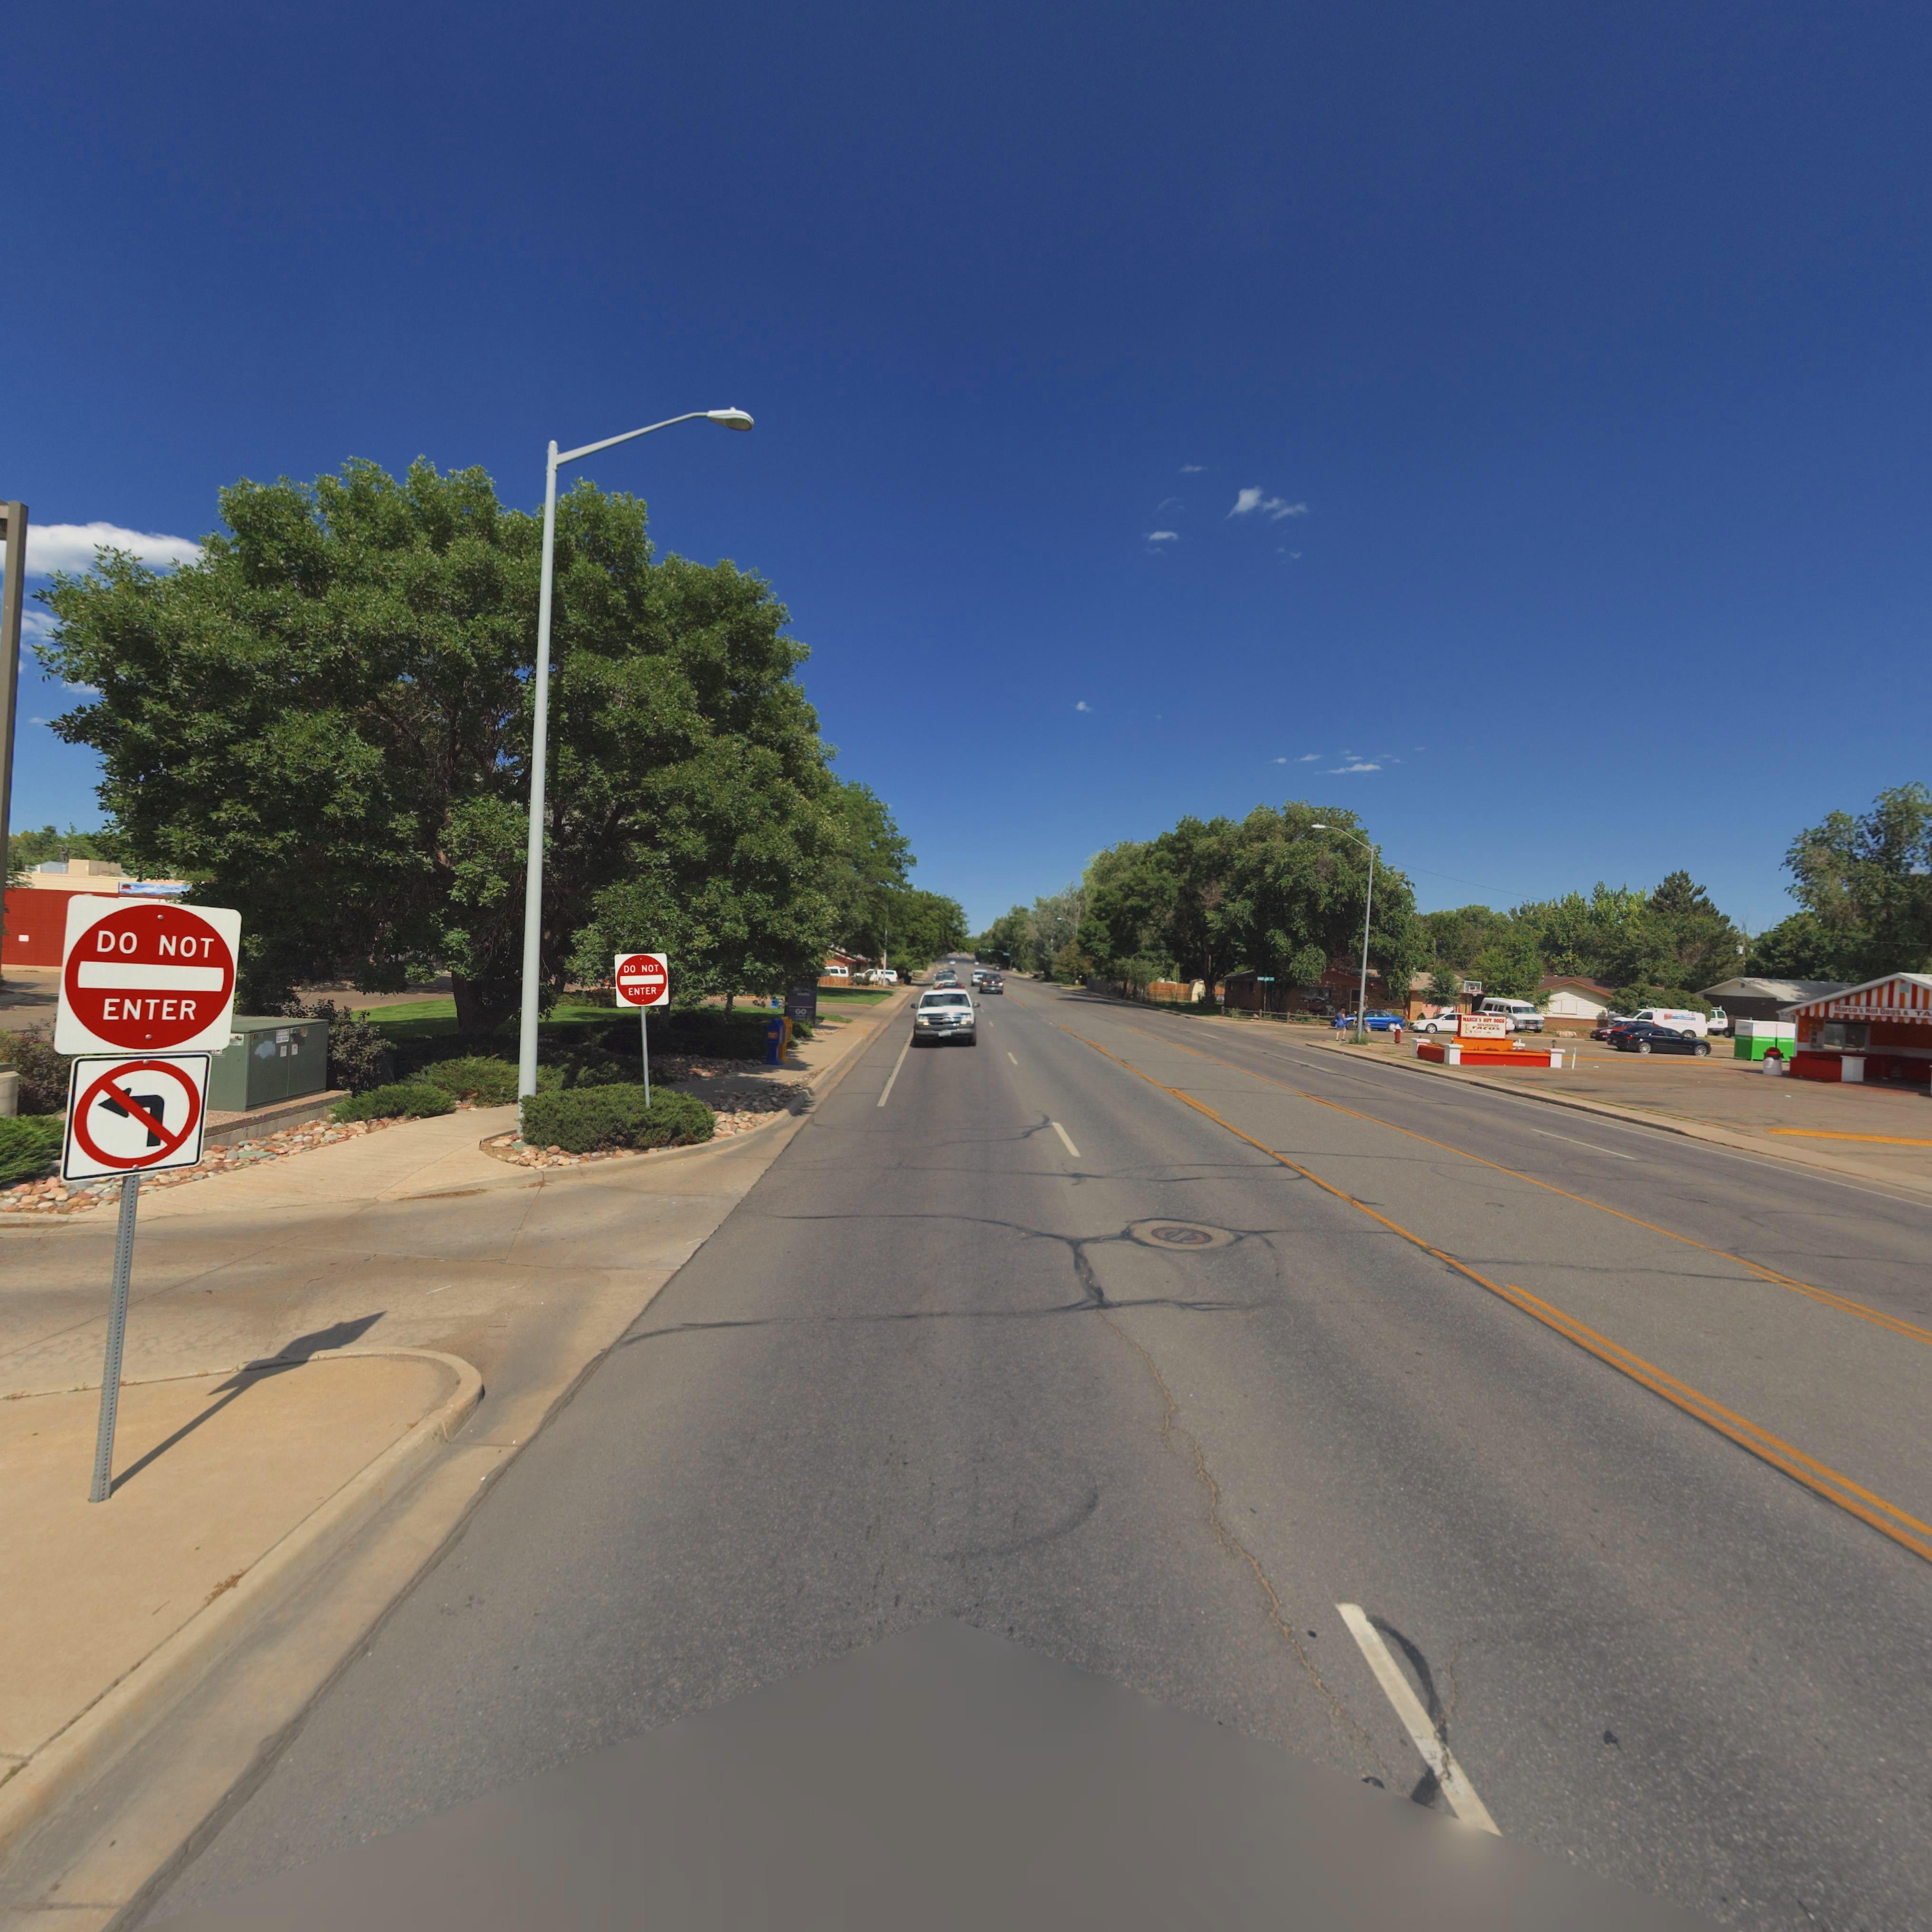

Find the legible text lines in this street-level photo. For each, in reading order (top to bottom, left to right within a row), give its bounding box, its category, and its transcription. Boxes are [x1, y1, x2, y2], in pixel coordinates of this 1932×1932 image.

[133, 884, 195, 891] BusinessName: FRO****** ****** *****
[1257, 976, 1274, 981] StreetName: ******* ST
[1834, 1005, 1931, 1017] BusinessName: Marco's Hot Dogs & TA
[1462, 1017, 1505, 1023] BusinessName: MARCO S HOT DOGS
[1471, 1025, 1500, 1031] BusinessName: TACOS